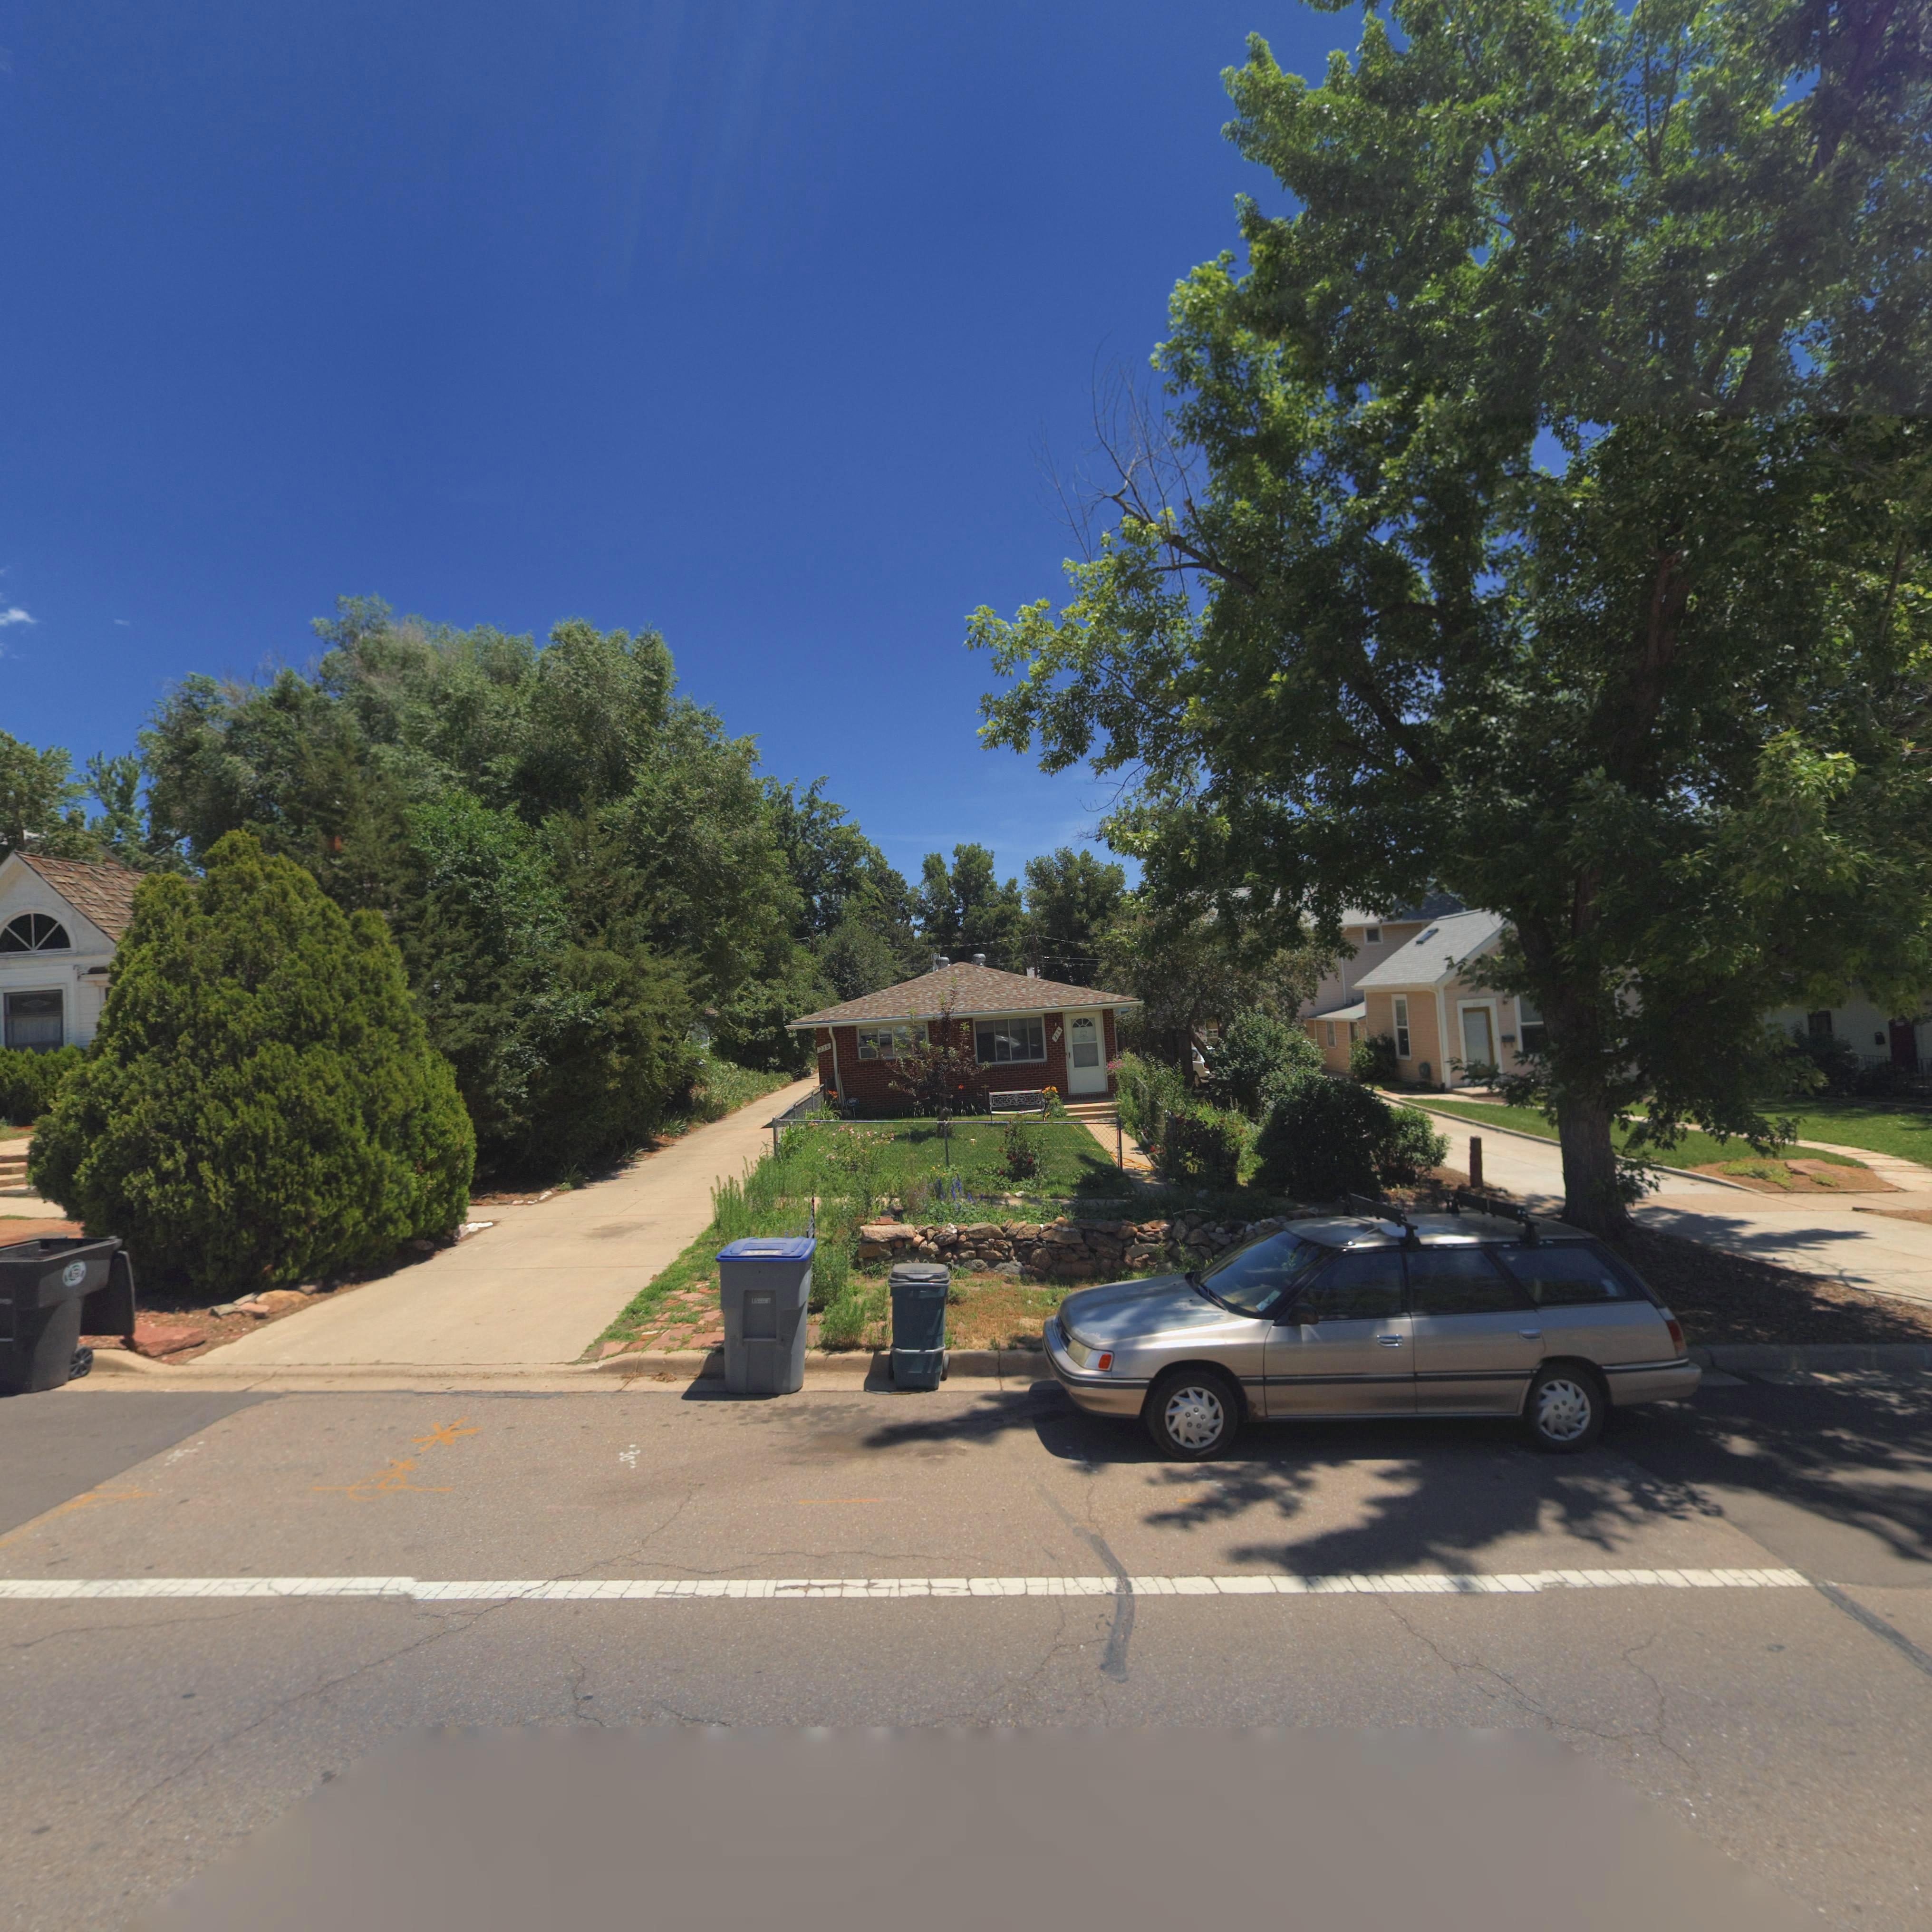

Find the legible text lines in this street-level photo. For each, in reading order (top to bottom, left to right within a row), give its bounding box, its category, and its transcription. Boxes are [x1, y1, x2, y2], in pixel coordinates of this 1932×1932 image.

[1471, 1000, 1481, 1006] StreetNumber: 2**
[1053, 1028, 1061, 1040] StreetNumber: 236
[819, 1043, 829, 1052] StreetNumber: 238